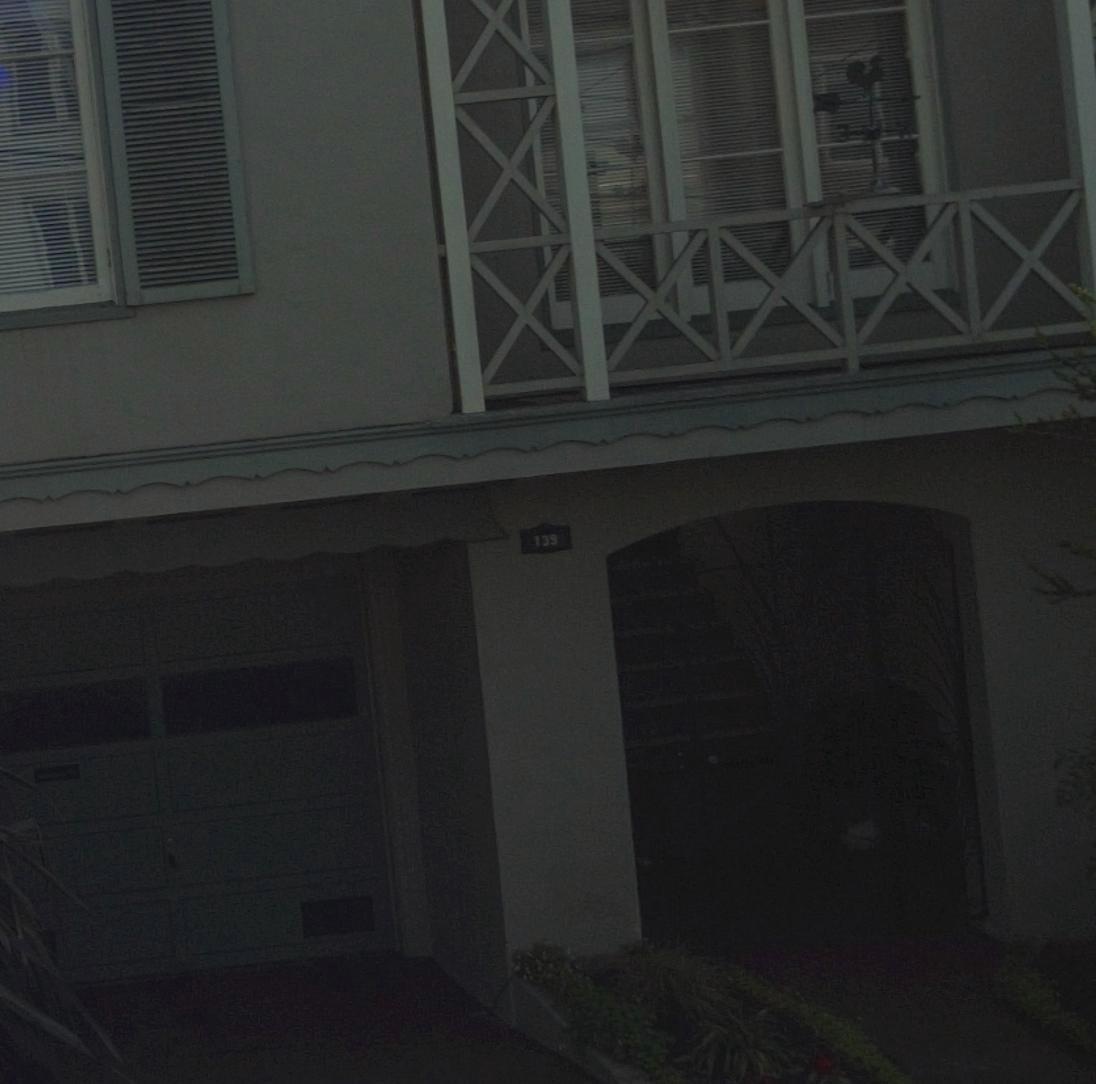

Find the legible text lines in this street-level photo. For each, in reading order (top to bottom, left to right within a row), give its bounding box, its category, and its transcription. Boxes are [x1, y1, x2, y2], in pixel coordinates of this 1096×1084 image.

[532, 531, 561, 549] StreetNumber: 139